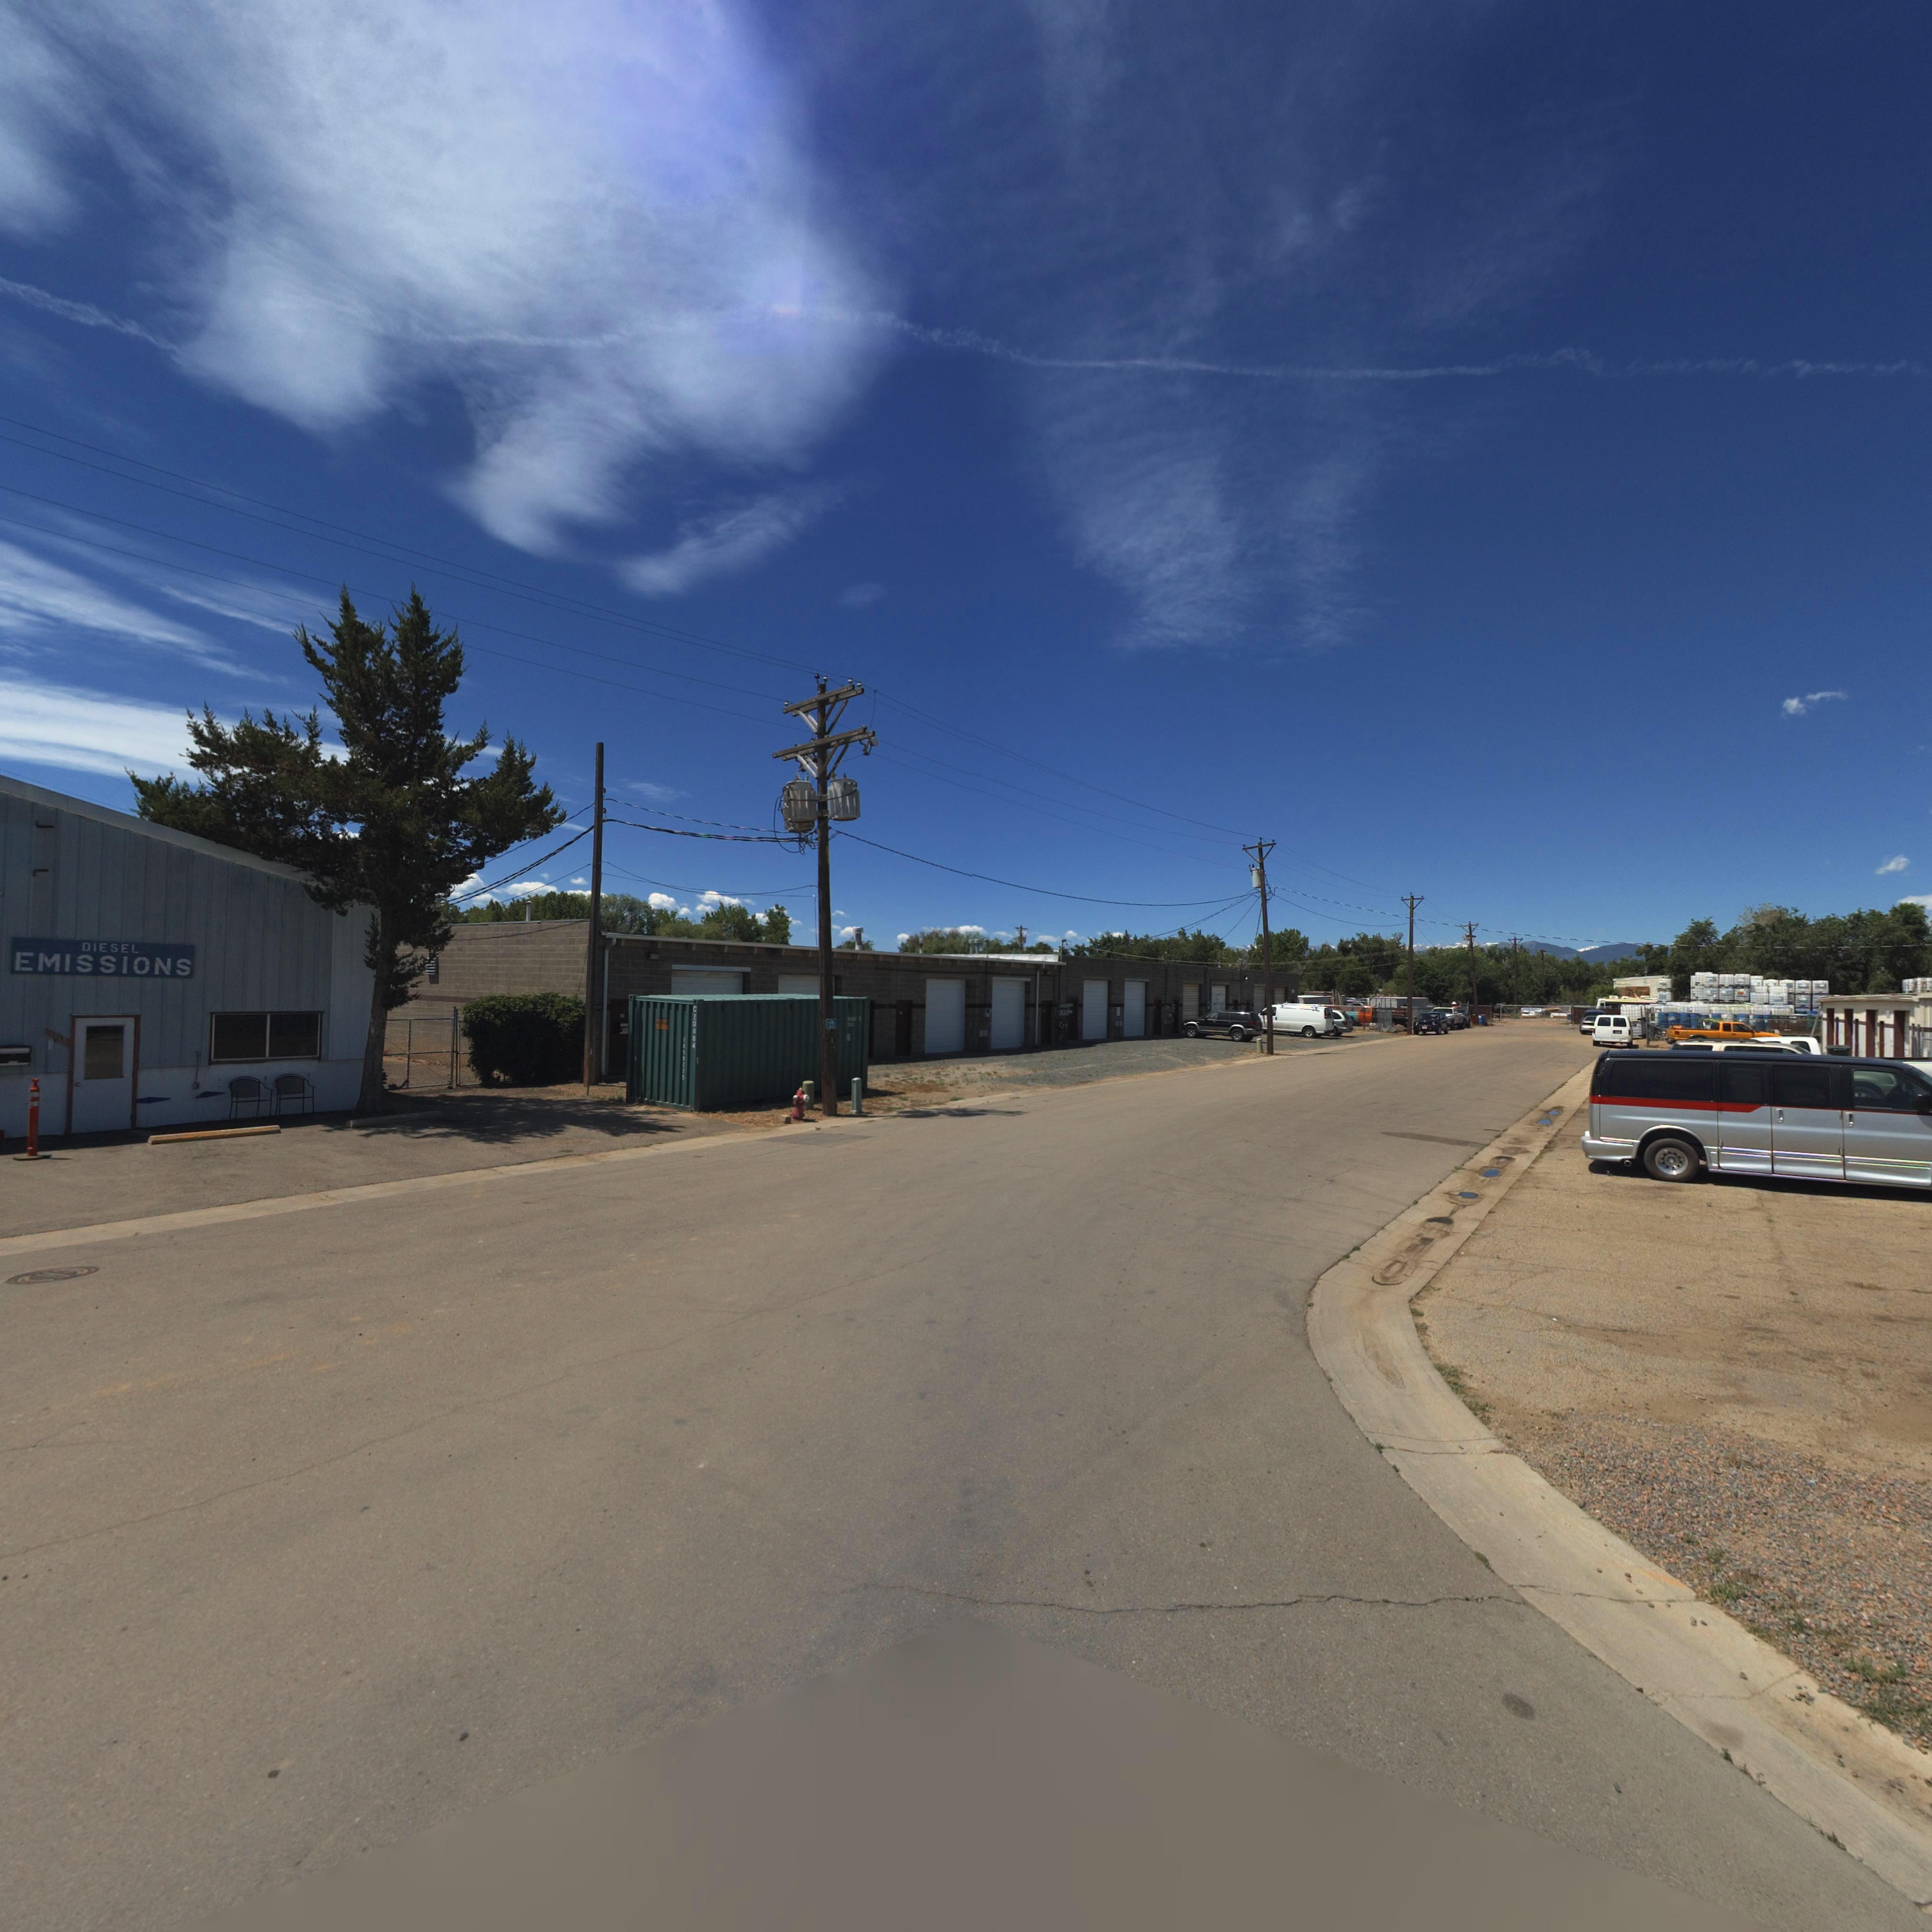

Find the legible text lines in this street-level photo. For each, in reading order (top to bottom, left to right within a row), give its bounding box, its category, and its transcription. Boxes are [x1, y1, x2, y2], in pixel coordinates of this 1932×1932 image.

[81, 941, 140, 954] BusinessName: DIESEL
[13, 950, 193, 976] BusinessName: EMISSIONS
[619, 1014, 625, 1018] StreetNumber: 13
[50, 1030, 67, 1043] StreetNumber: 1*1*